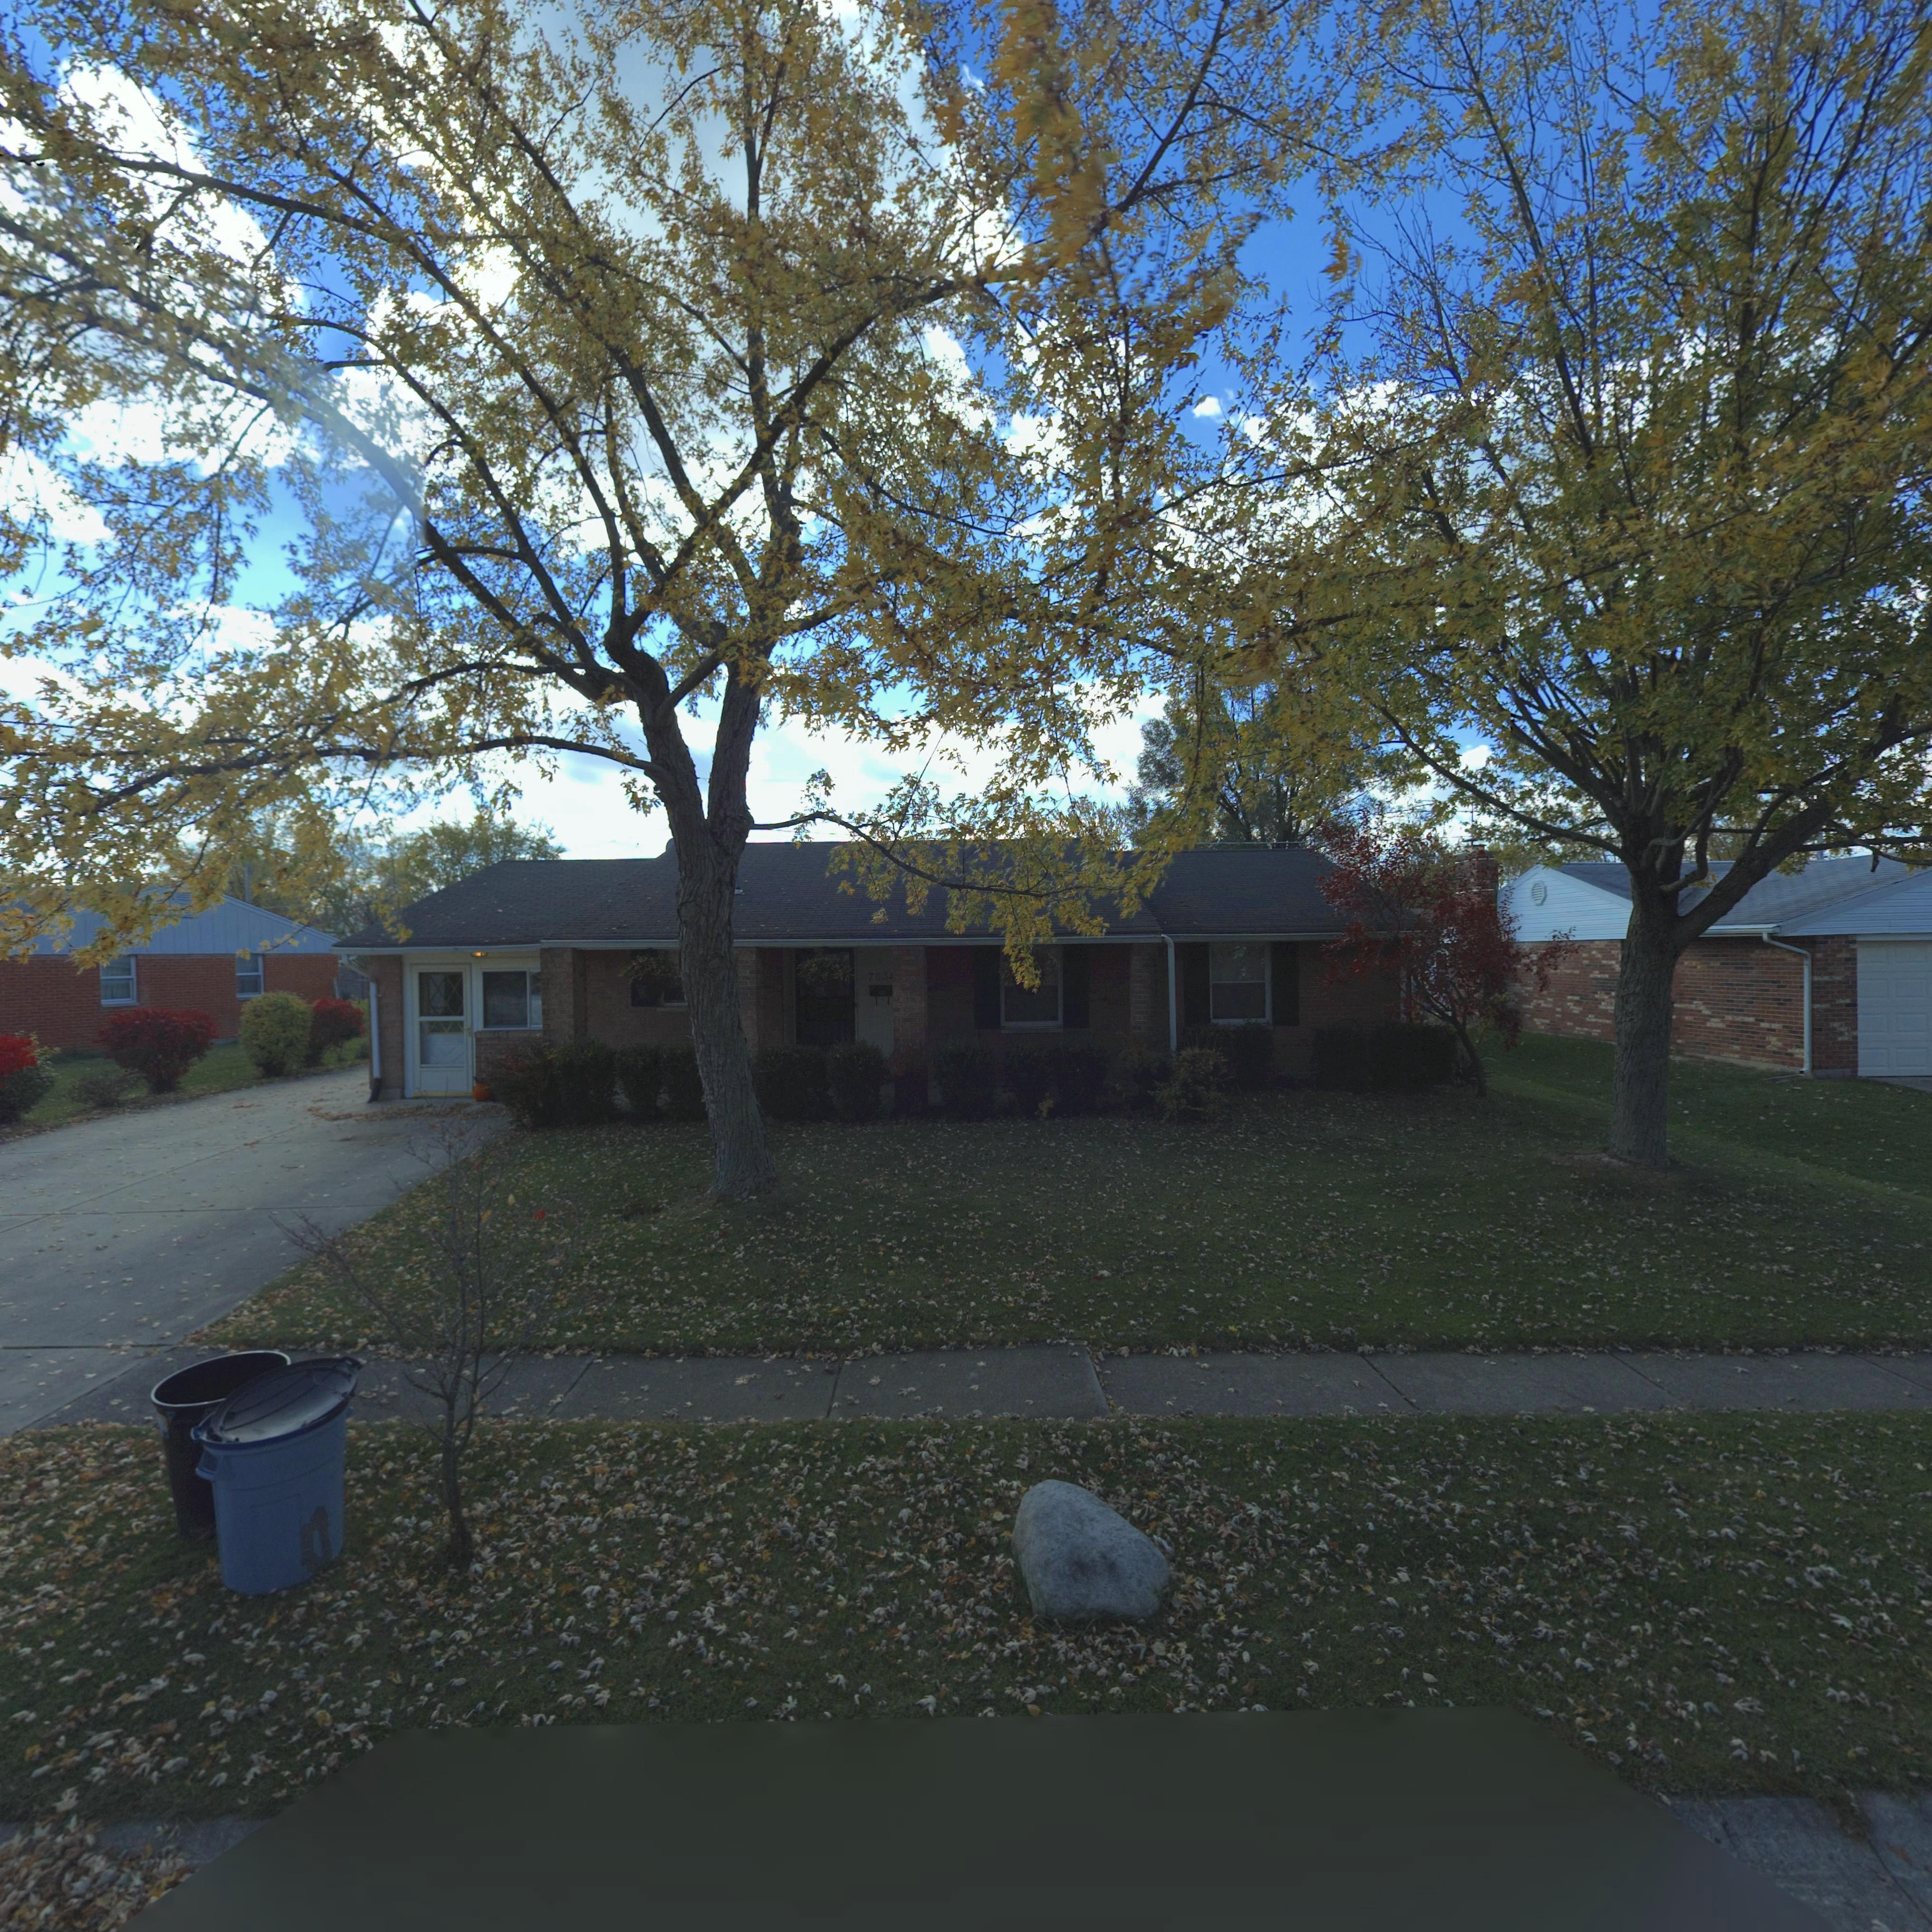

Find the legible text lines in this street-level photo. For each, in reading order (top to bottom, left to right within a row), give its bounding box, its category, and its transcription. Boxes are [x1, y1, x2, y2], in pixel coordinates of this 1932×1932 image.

[867, 972, 893, 981] StreetNumber: 7834